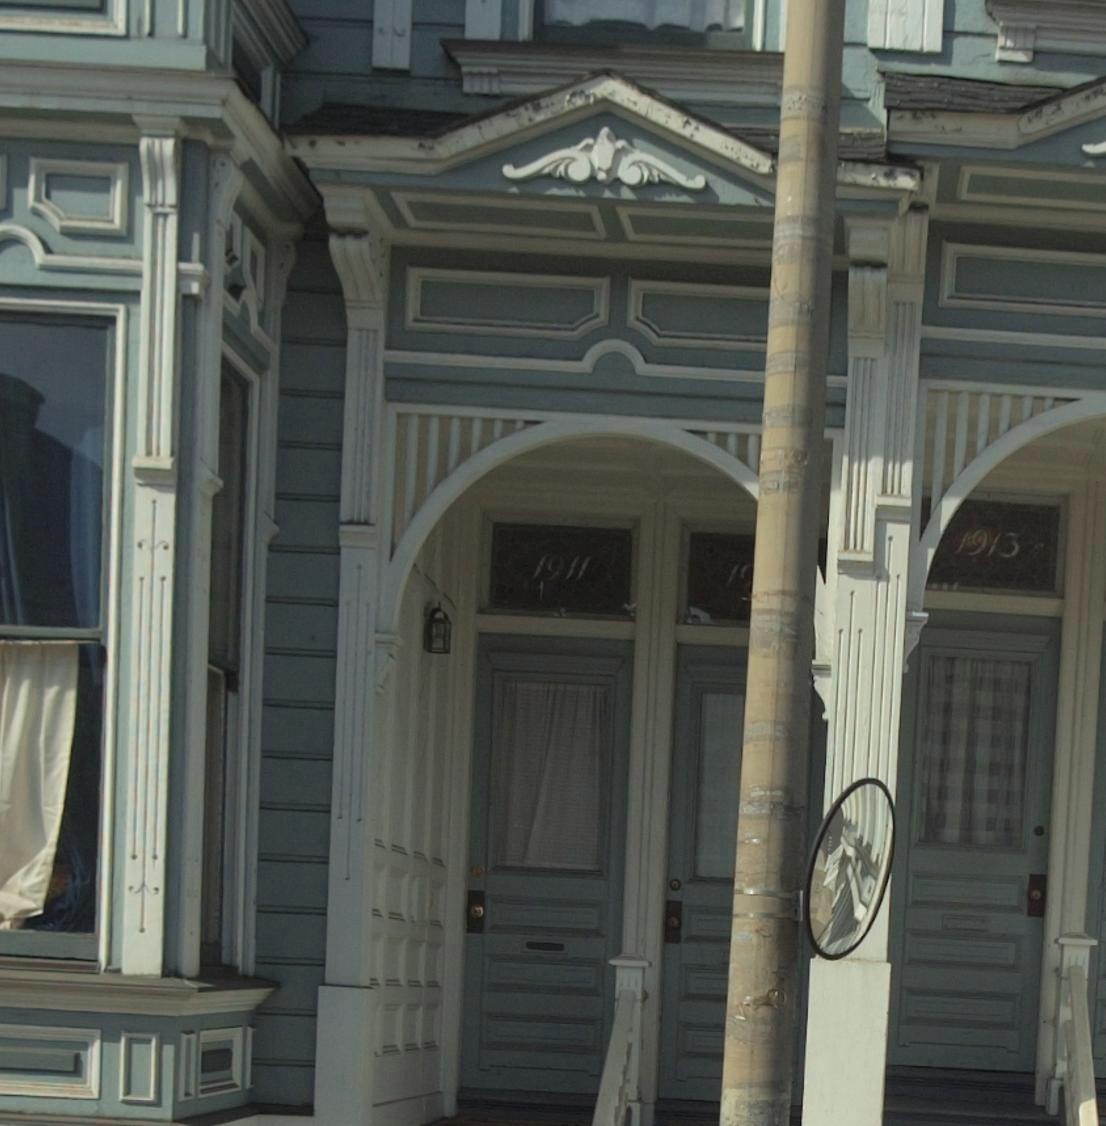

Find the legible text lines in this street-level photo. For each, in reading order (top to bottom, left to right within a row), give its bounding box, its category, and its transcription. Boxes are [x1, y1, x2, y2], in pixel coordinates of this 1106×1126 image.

[950, 523, 1025, 562] StreetNumber: 1913
[526, 551, 597, 584] StreetNumber: 1911
[722, 559, 744, 591] StreetNumber: 1